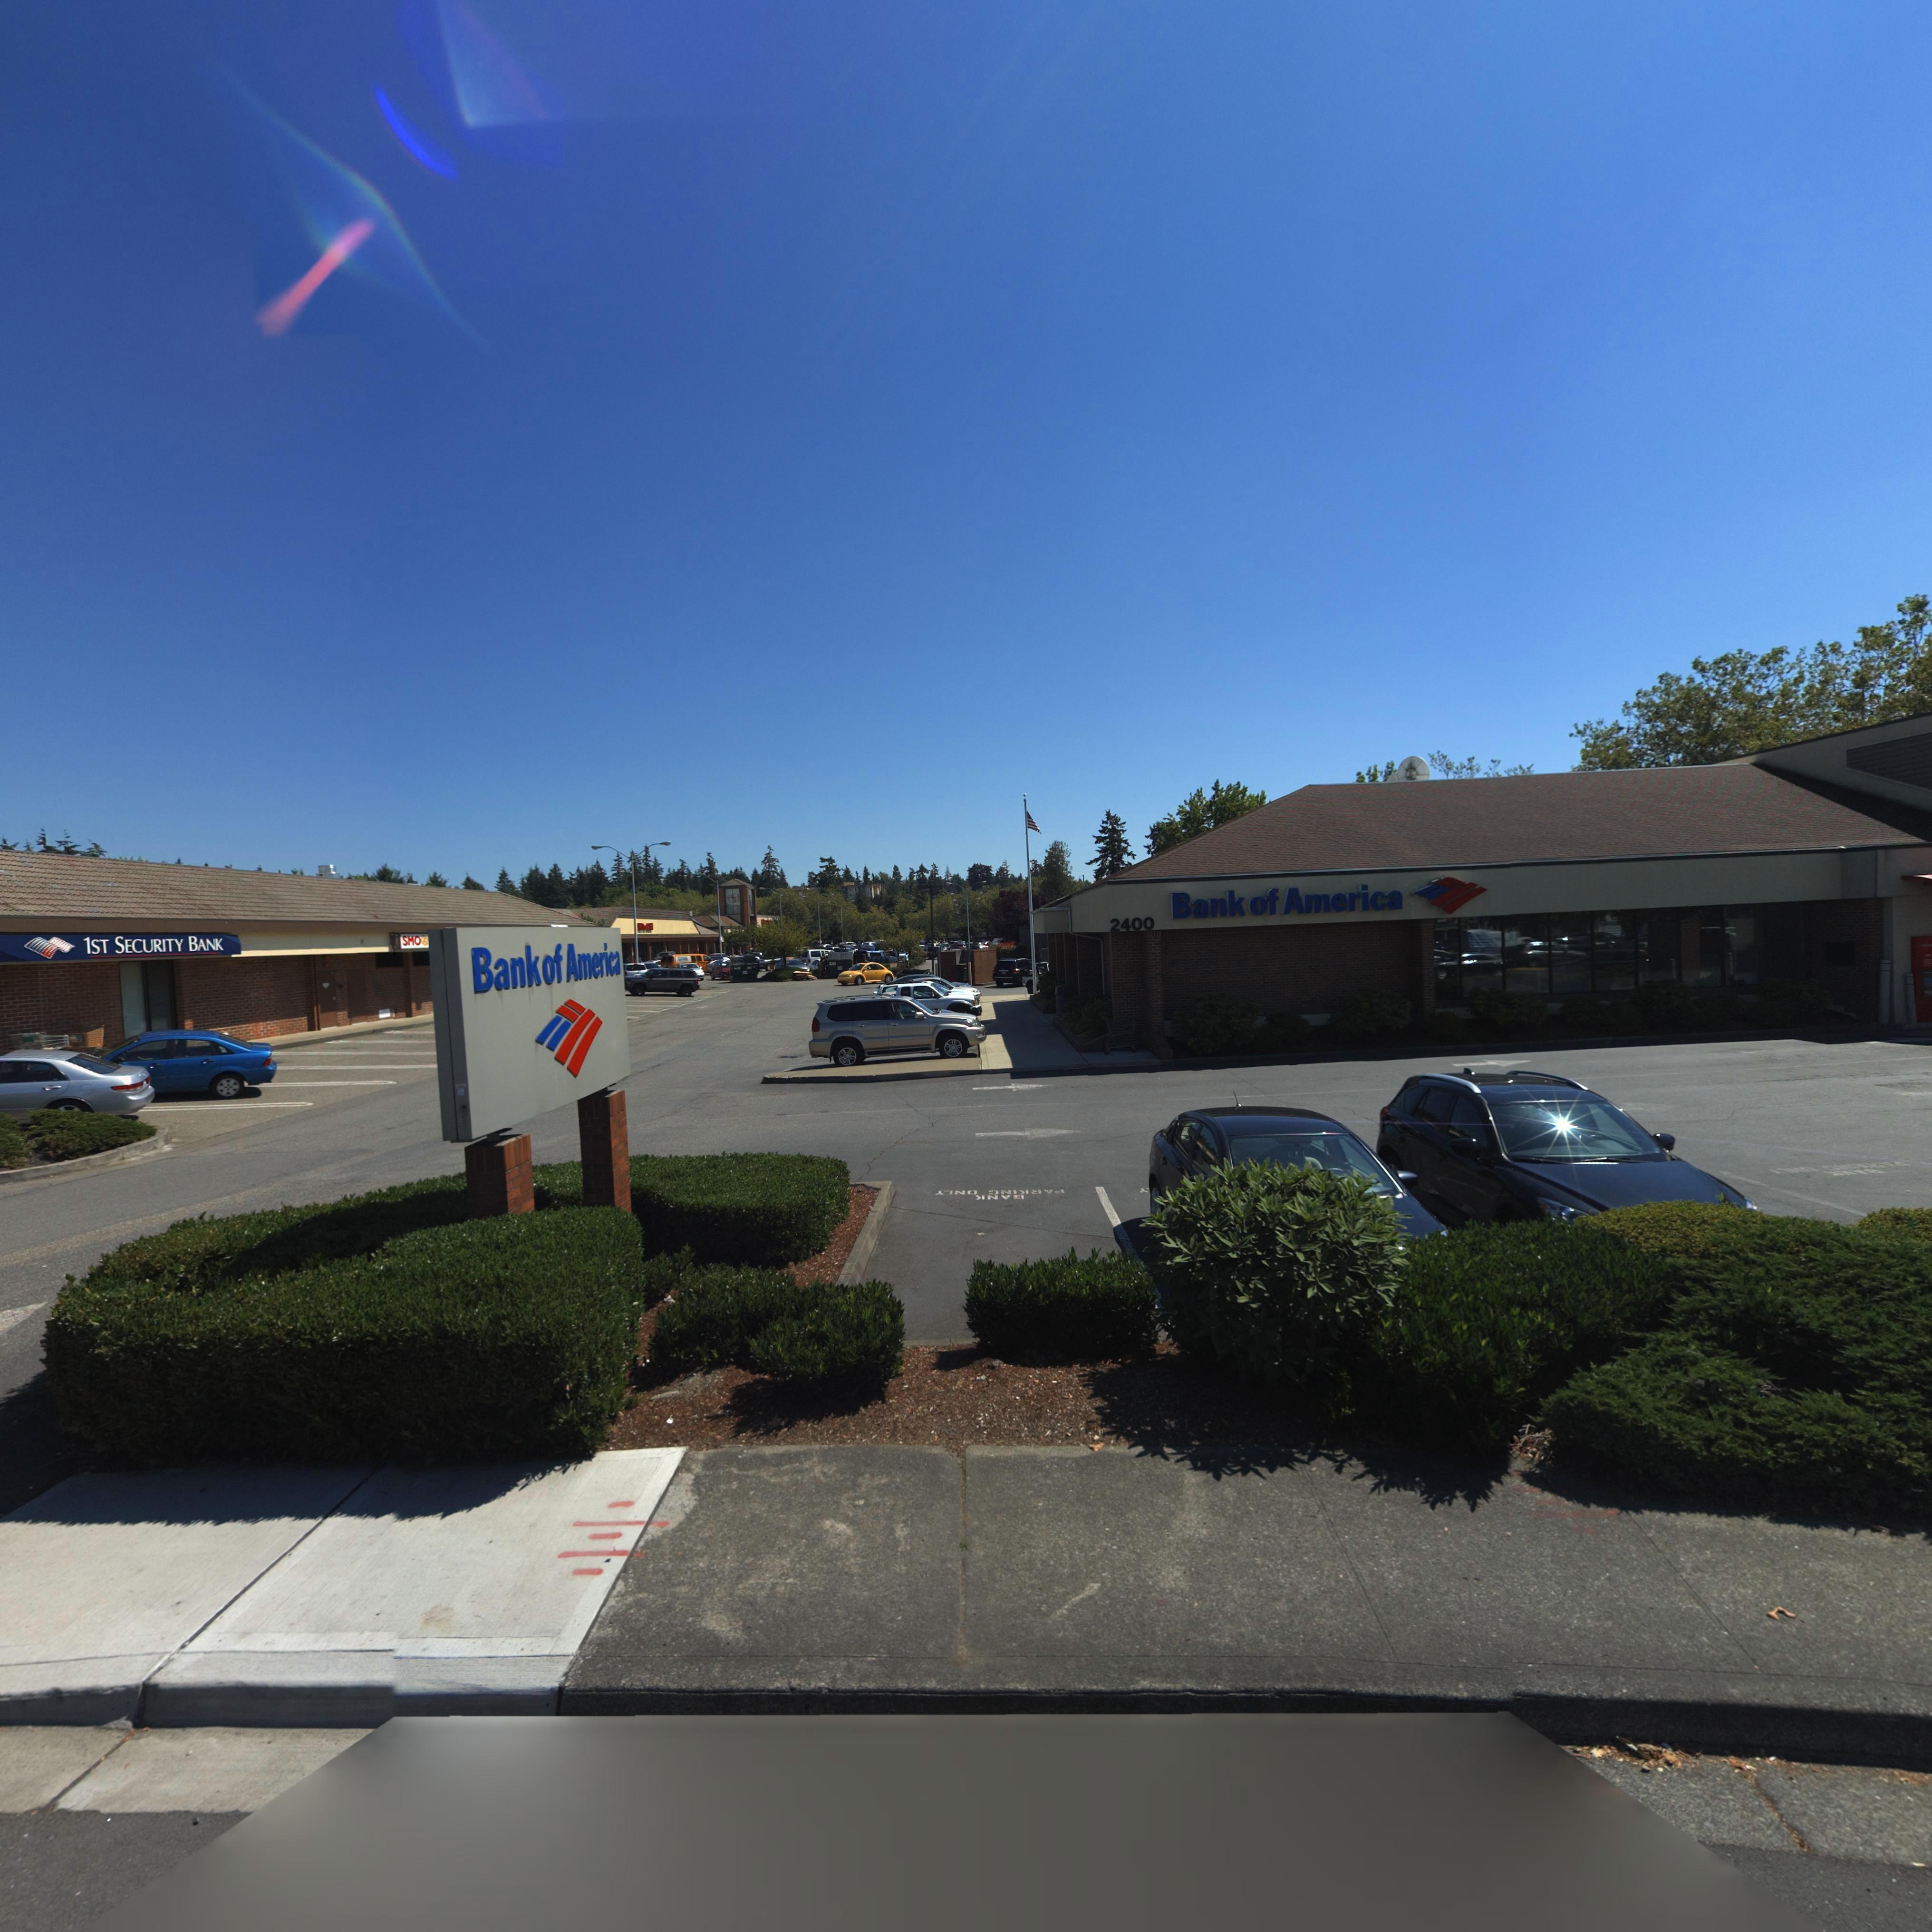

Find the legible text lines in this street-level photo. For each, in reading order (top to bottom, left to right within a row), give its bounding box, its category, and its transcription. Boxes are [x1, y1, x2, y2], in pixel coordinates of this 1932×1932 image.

[1170, 883, 1404, 918] BusinessName: Bank of America
[1111, 917, 1154, 931] StreetNumber: 2400
[81, 935, 224, 954] BusinessName: 1ST SECURITY BANK
[470, 941, 621, 993] BusinessName: Bank of America